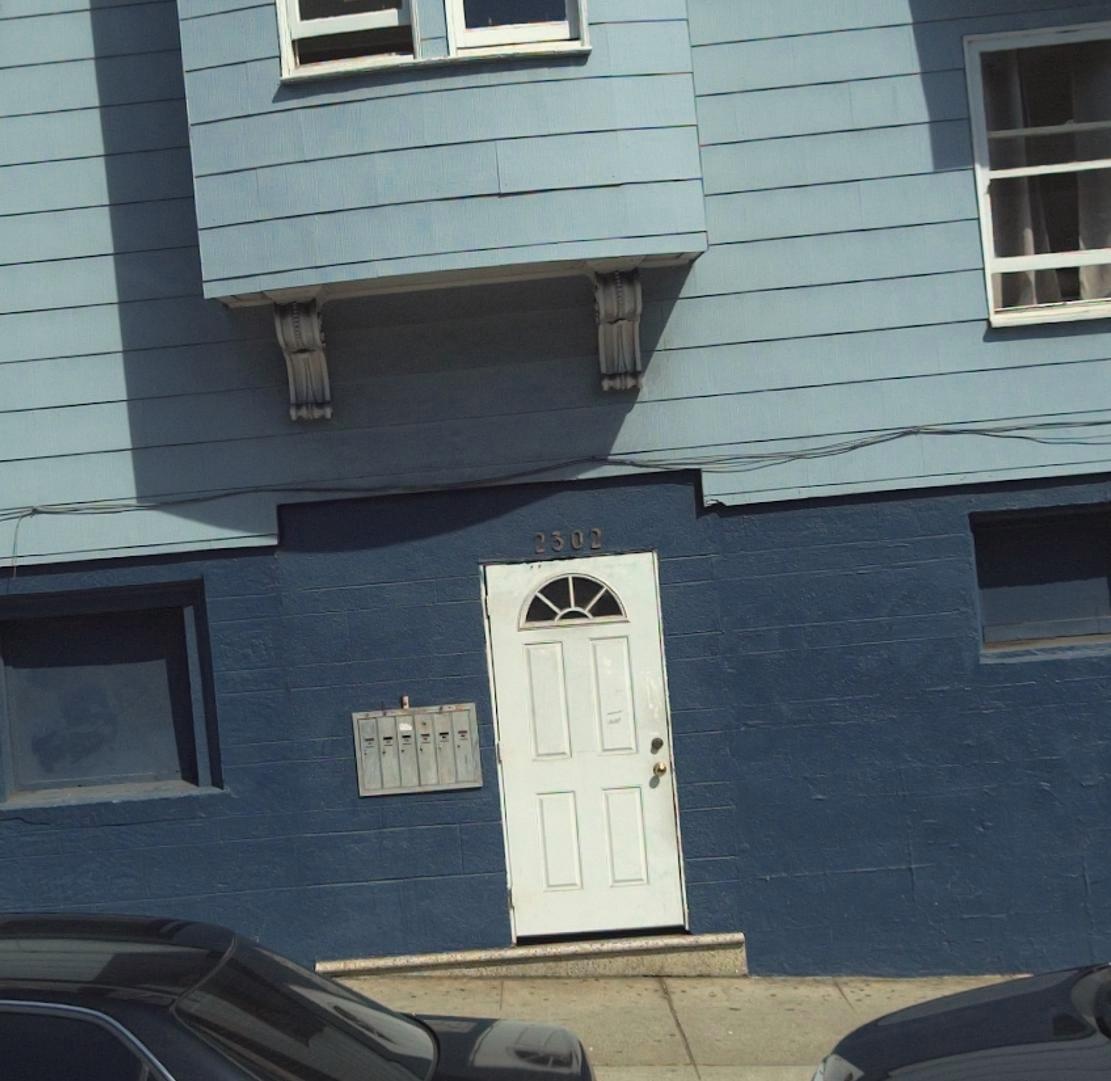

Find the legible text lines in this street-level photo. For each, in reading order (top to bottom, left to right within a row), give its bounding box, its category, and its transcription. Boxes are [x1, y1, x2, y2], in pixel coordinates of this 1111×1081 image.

[530, 523, 604, 556] StreetNumber: 2302